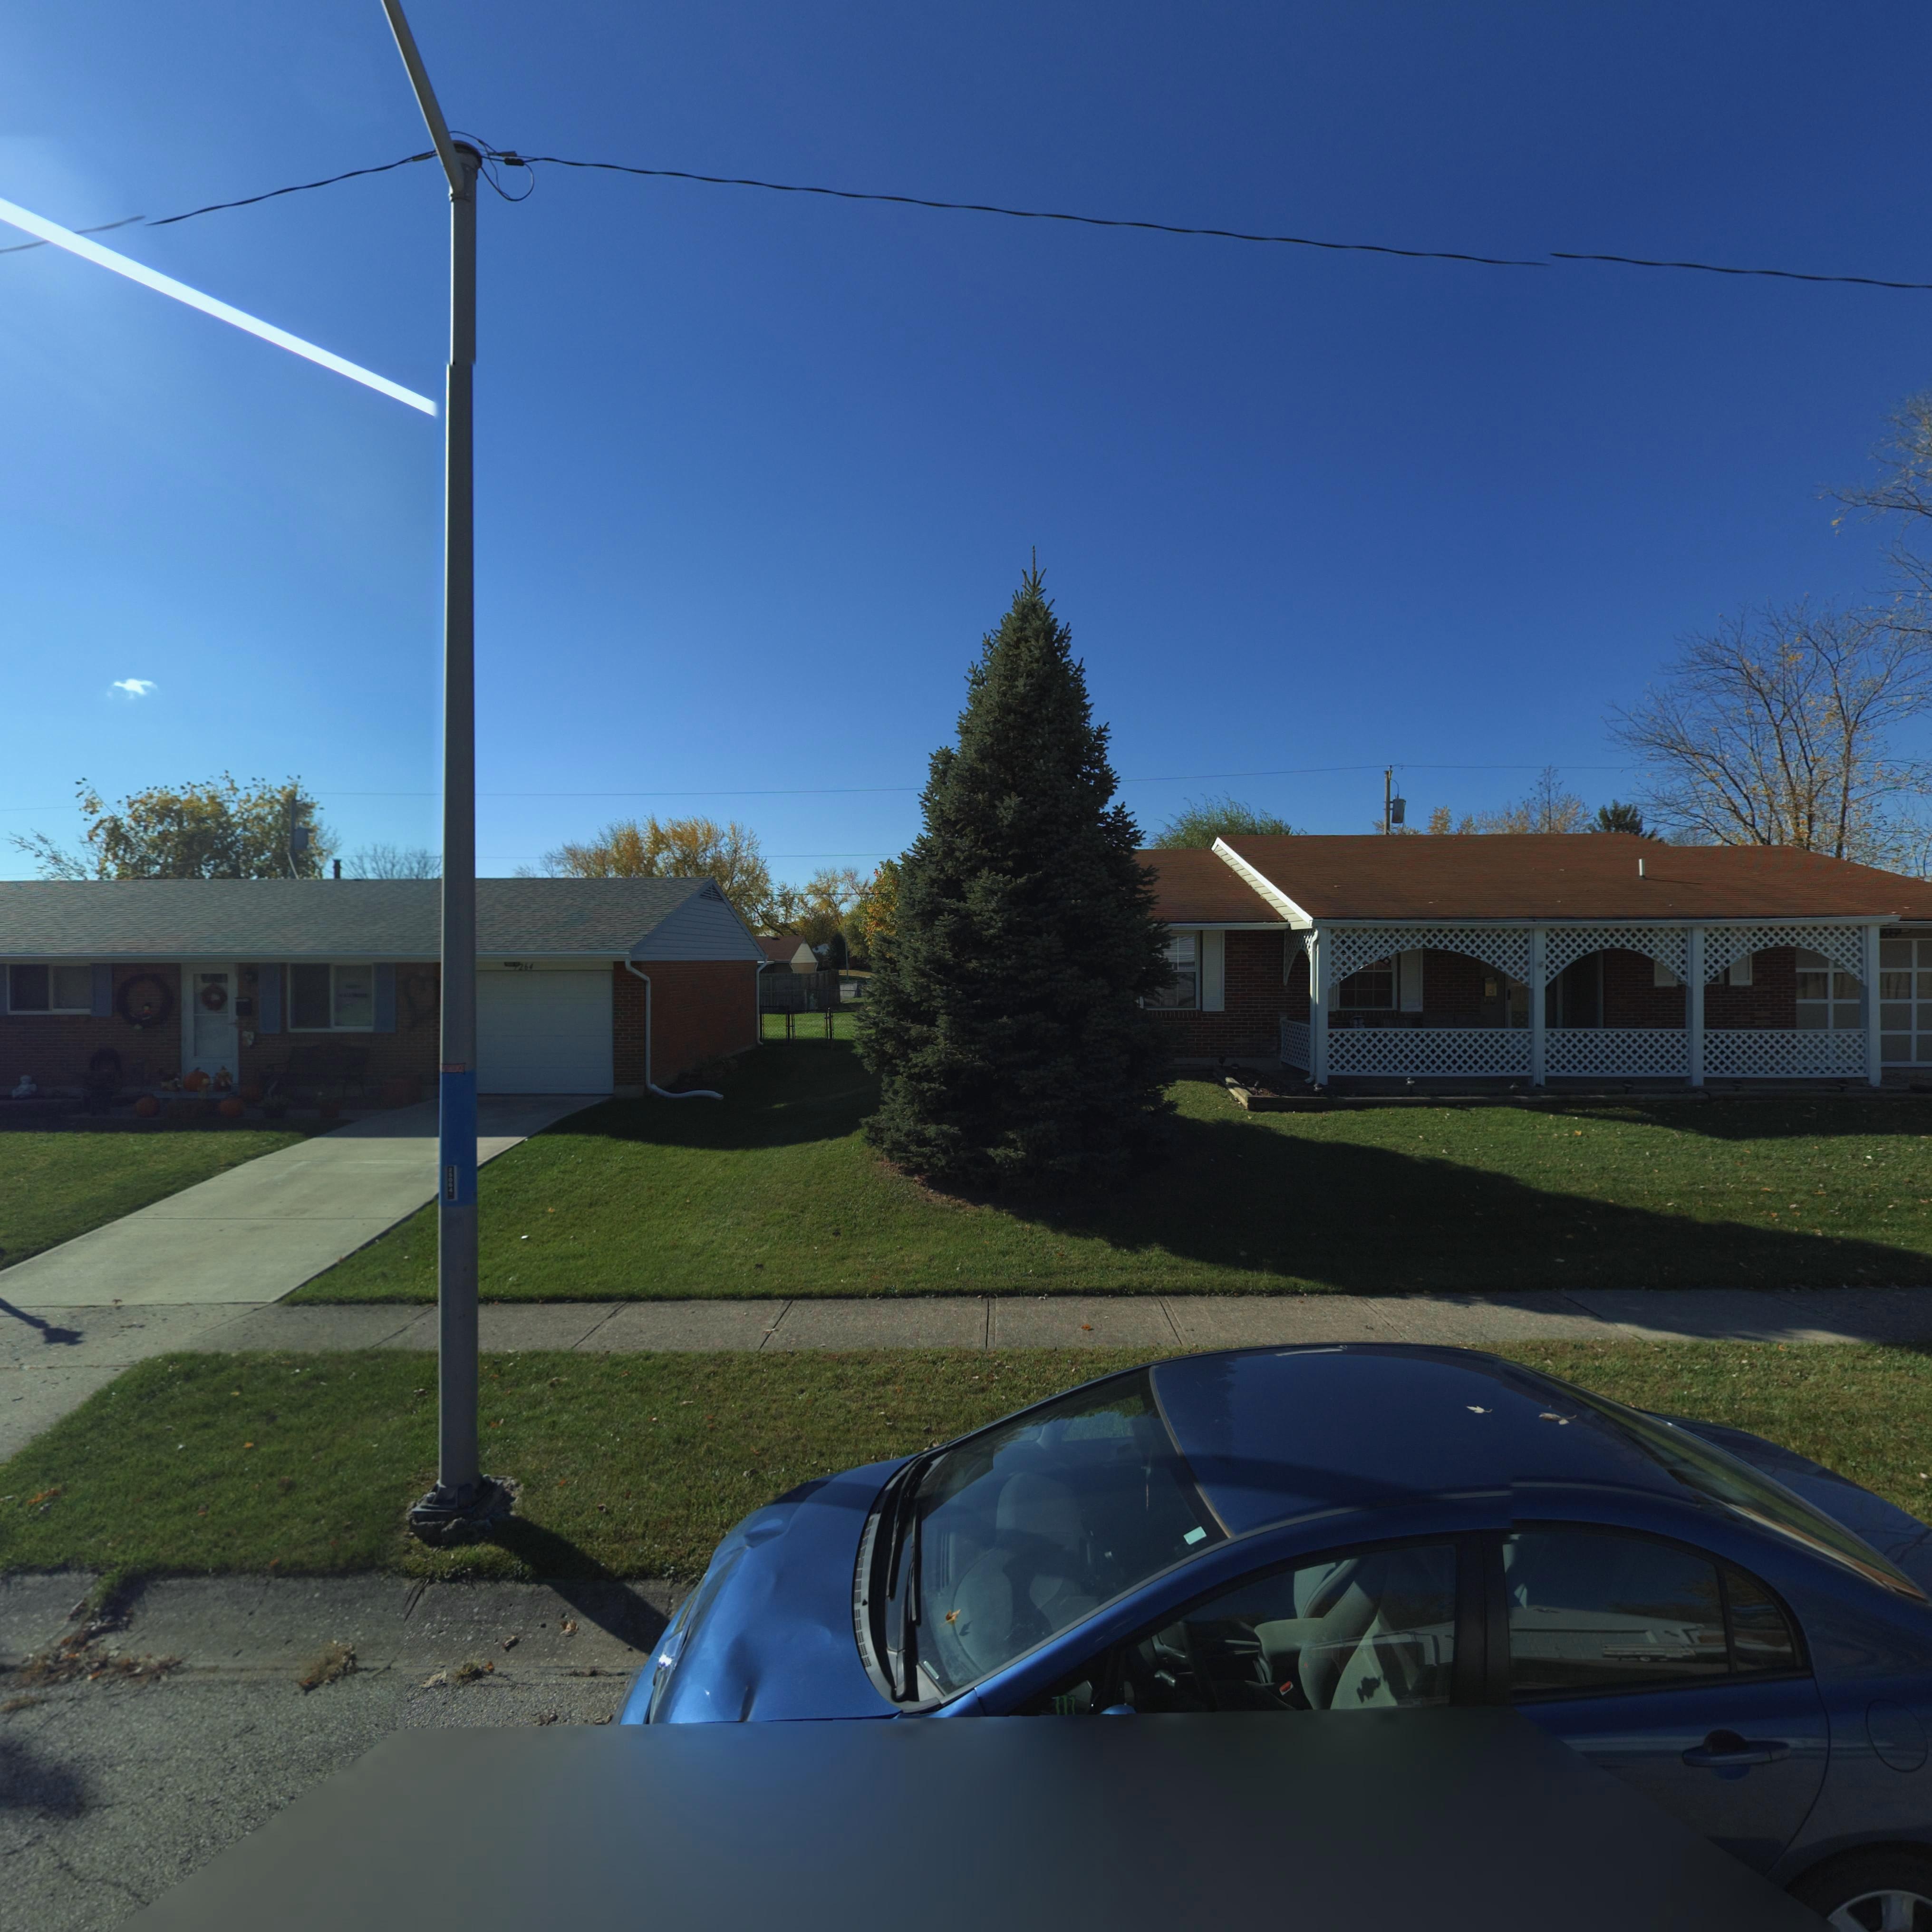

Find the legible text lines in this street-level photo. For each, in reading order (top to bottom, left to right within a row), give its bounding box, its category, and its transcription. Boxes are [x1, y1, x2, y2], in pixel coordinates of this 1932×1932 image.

[1881, 927, 1890, 939] StreetNumber: 6
[518, 962, 535, 972] StreetNumber: 264